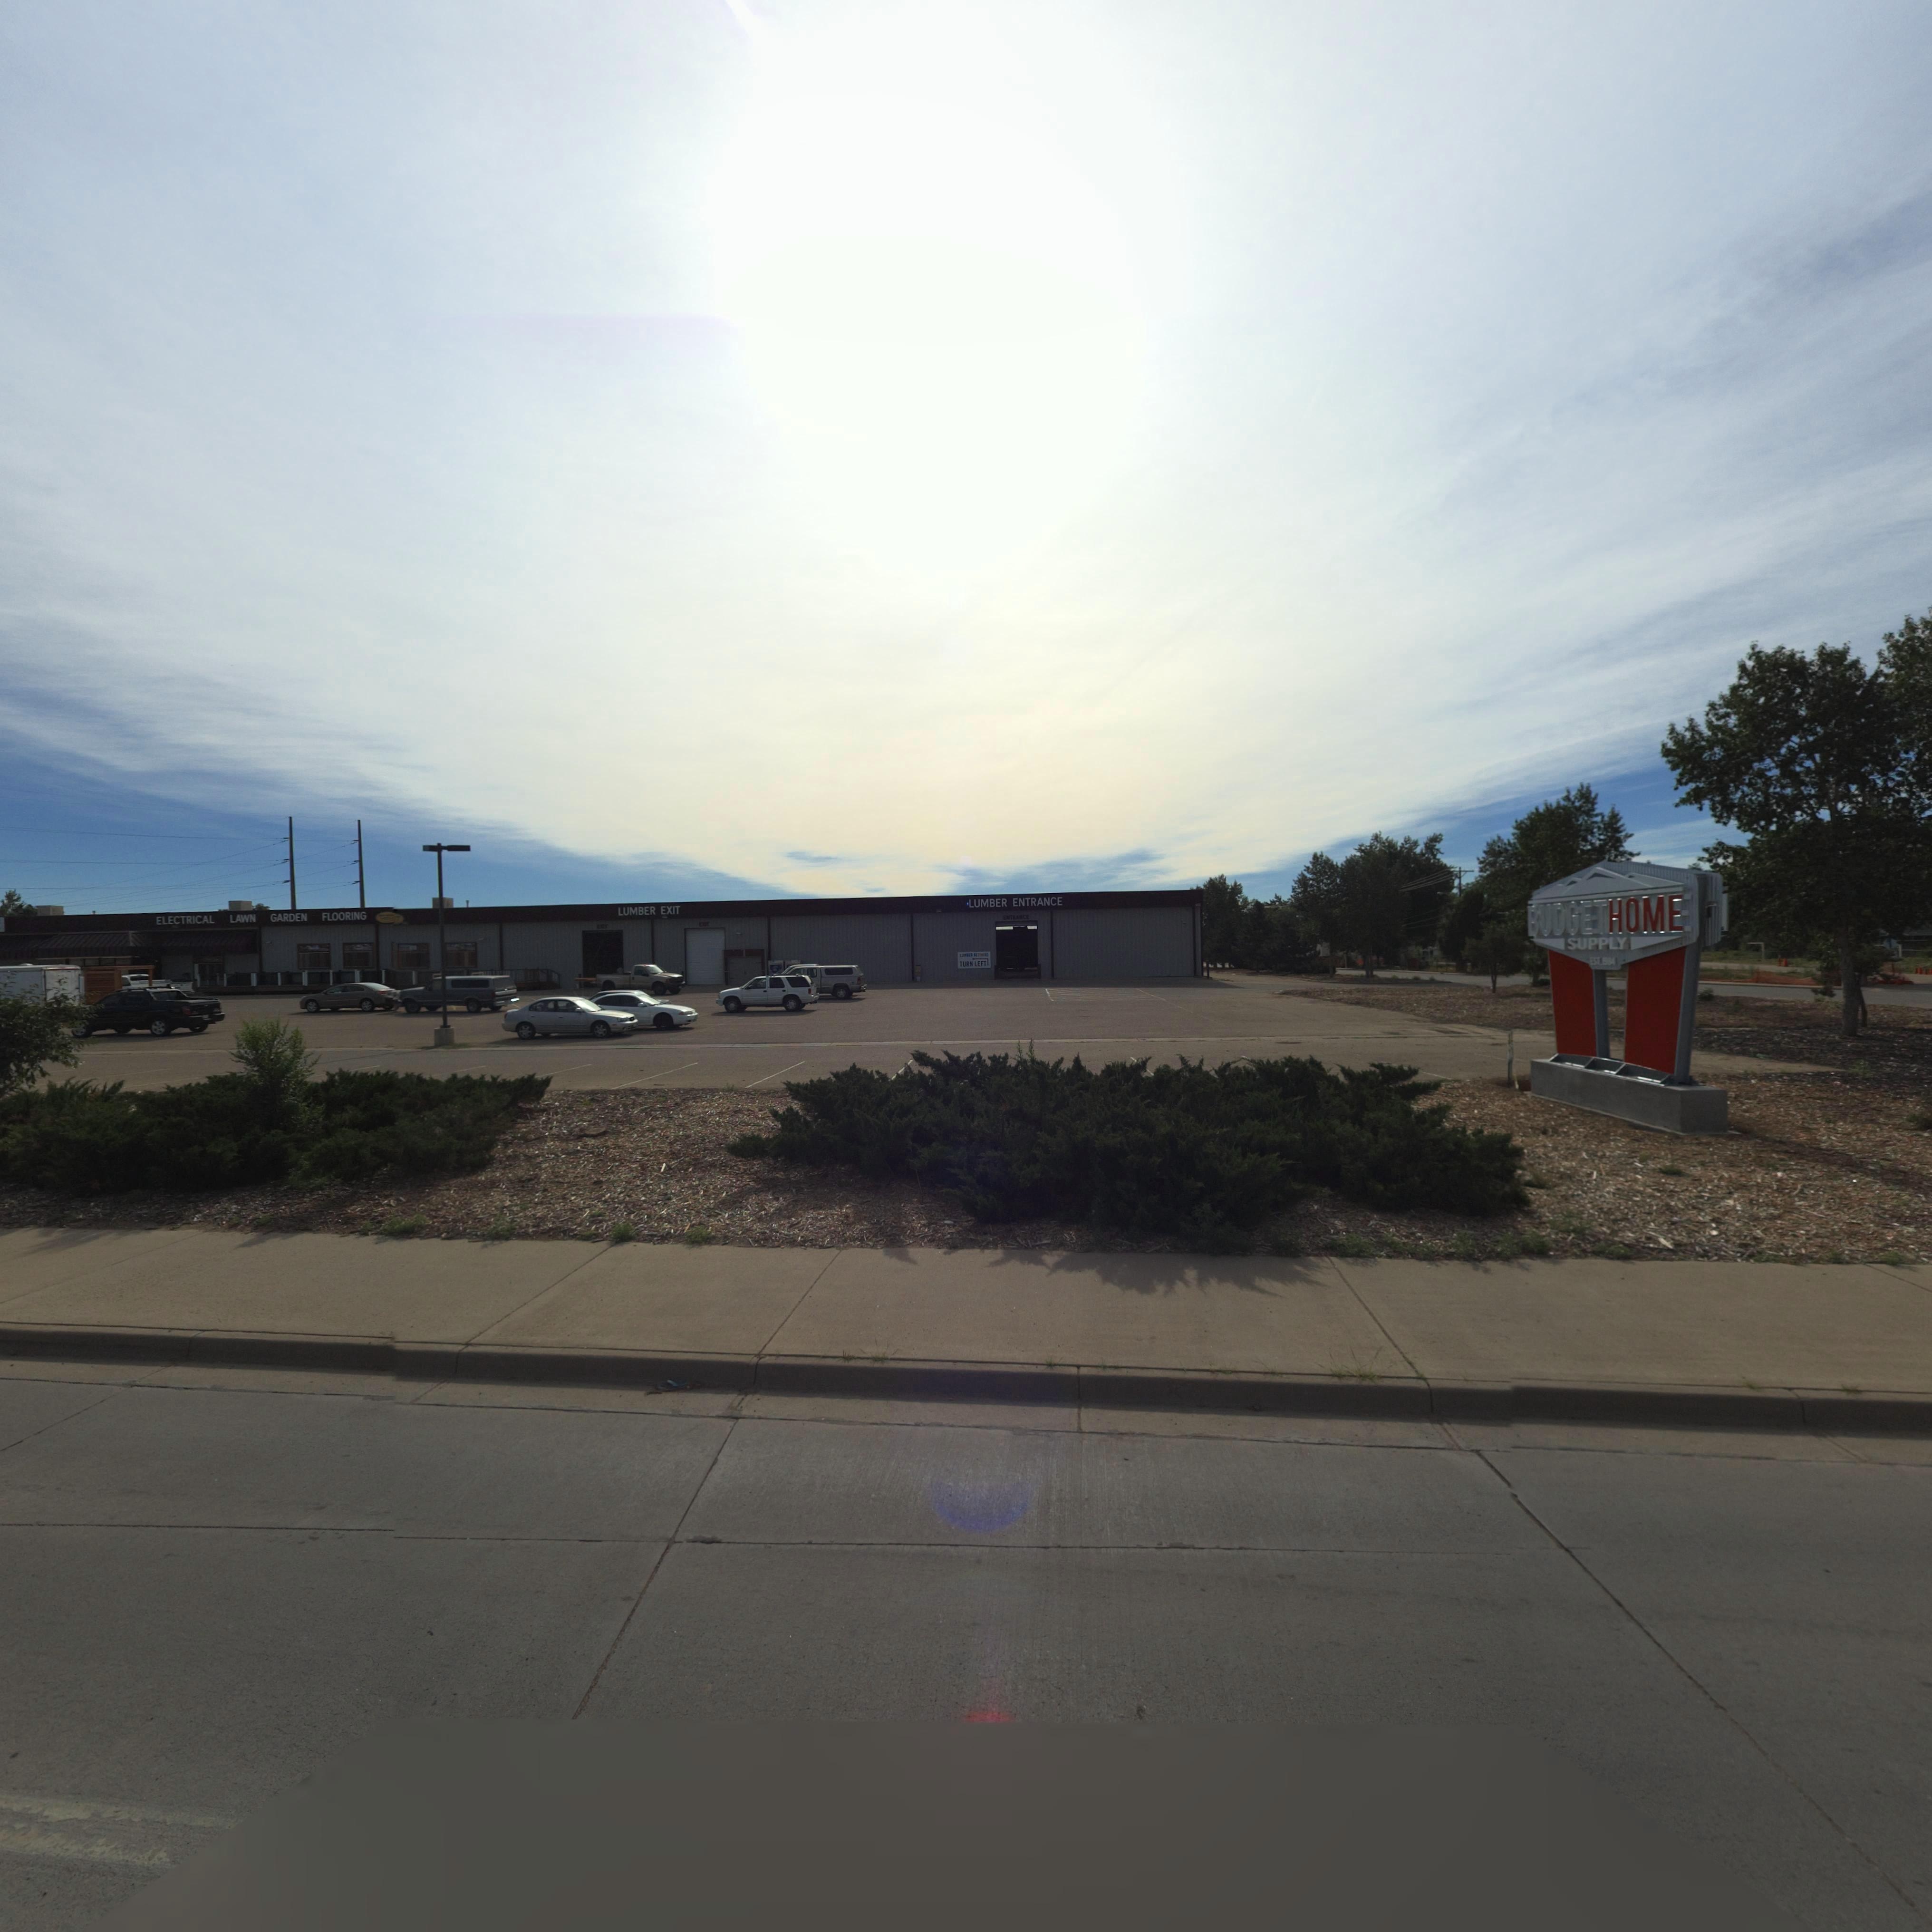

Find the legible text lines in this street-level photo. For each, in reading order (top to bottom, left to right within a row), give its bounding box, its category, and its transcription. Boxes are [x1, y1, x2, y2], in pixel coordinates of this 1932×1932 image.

[1526, 894, 1685, 939] BusinessName: BUDGETHOME
[1566, 937, 1627, 950] BusinessName: SUPPLY